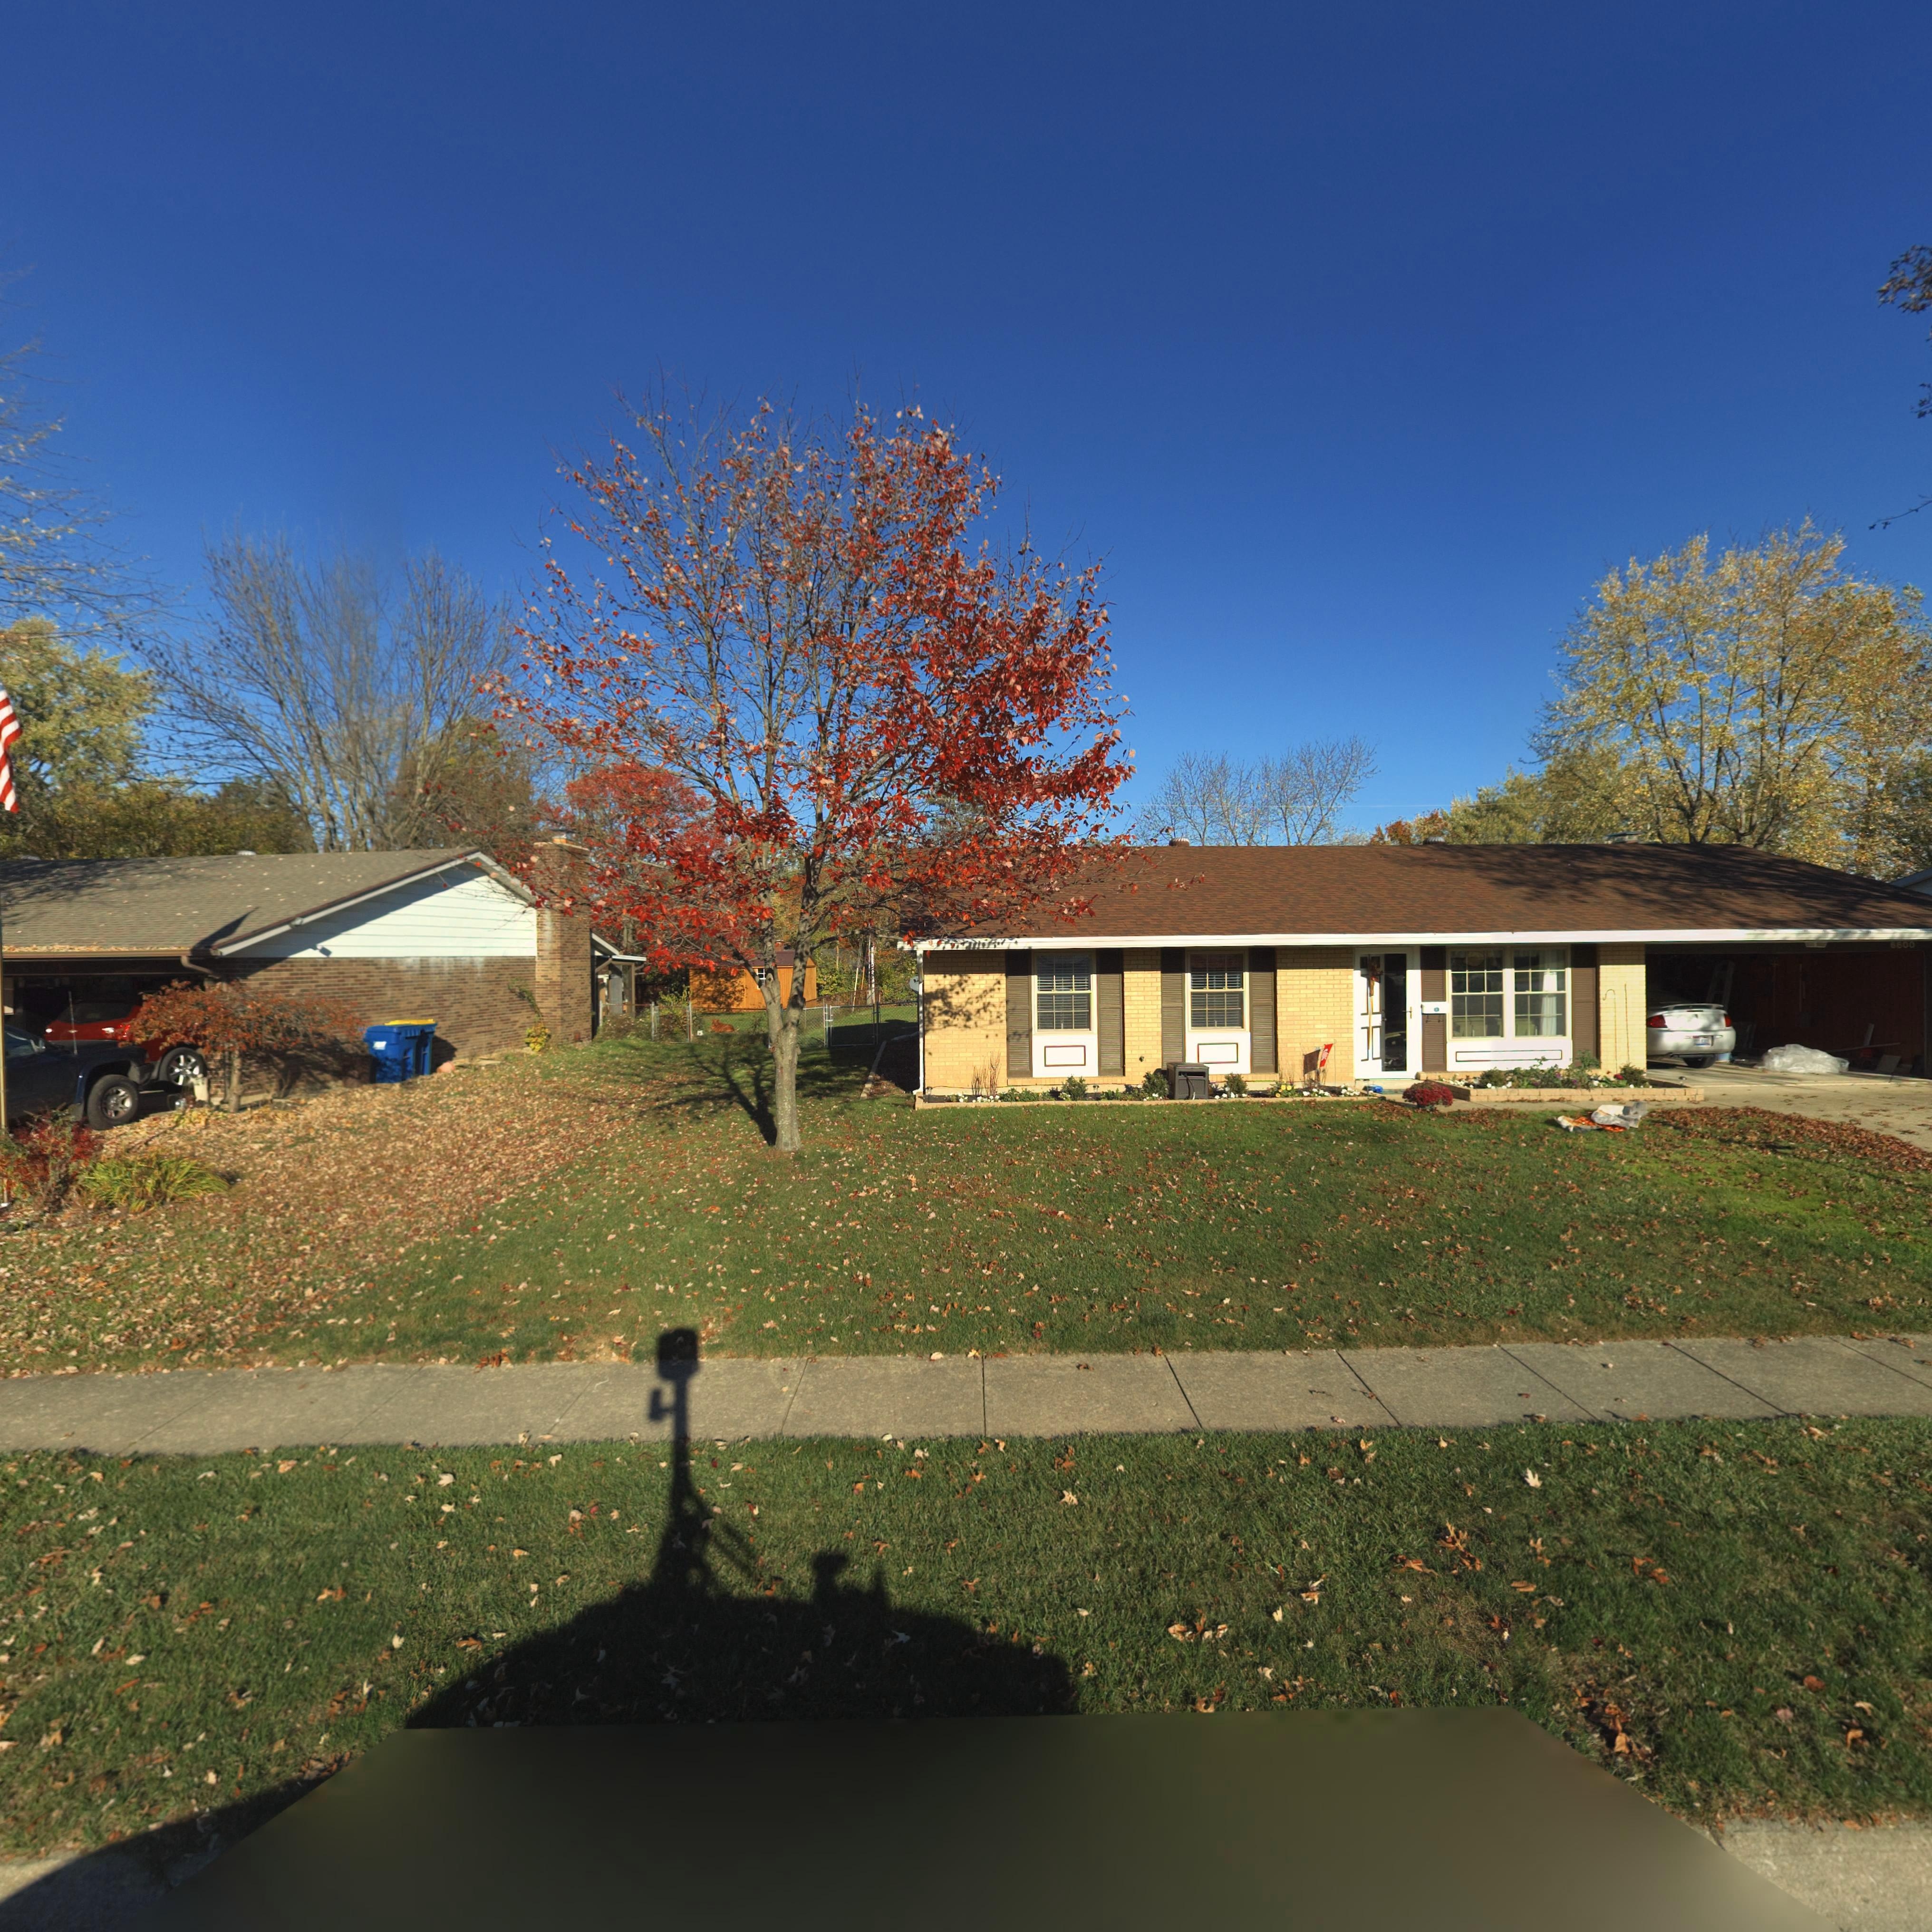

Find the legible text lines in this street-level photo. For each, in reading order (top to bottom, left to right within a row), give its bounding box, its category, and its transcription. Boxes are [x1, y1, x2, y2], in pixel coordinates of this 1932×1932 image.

[1889, 940, 1916, 950] StreetNumber: 6800